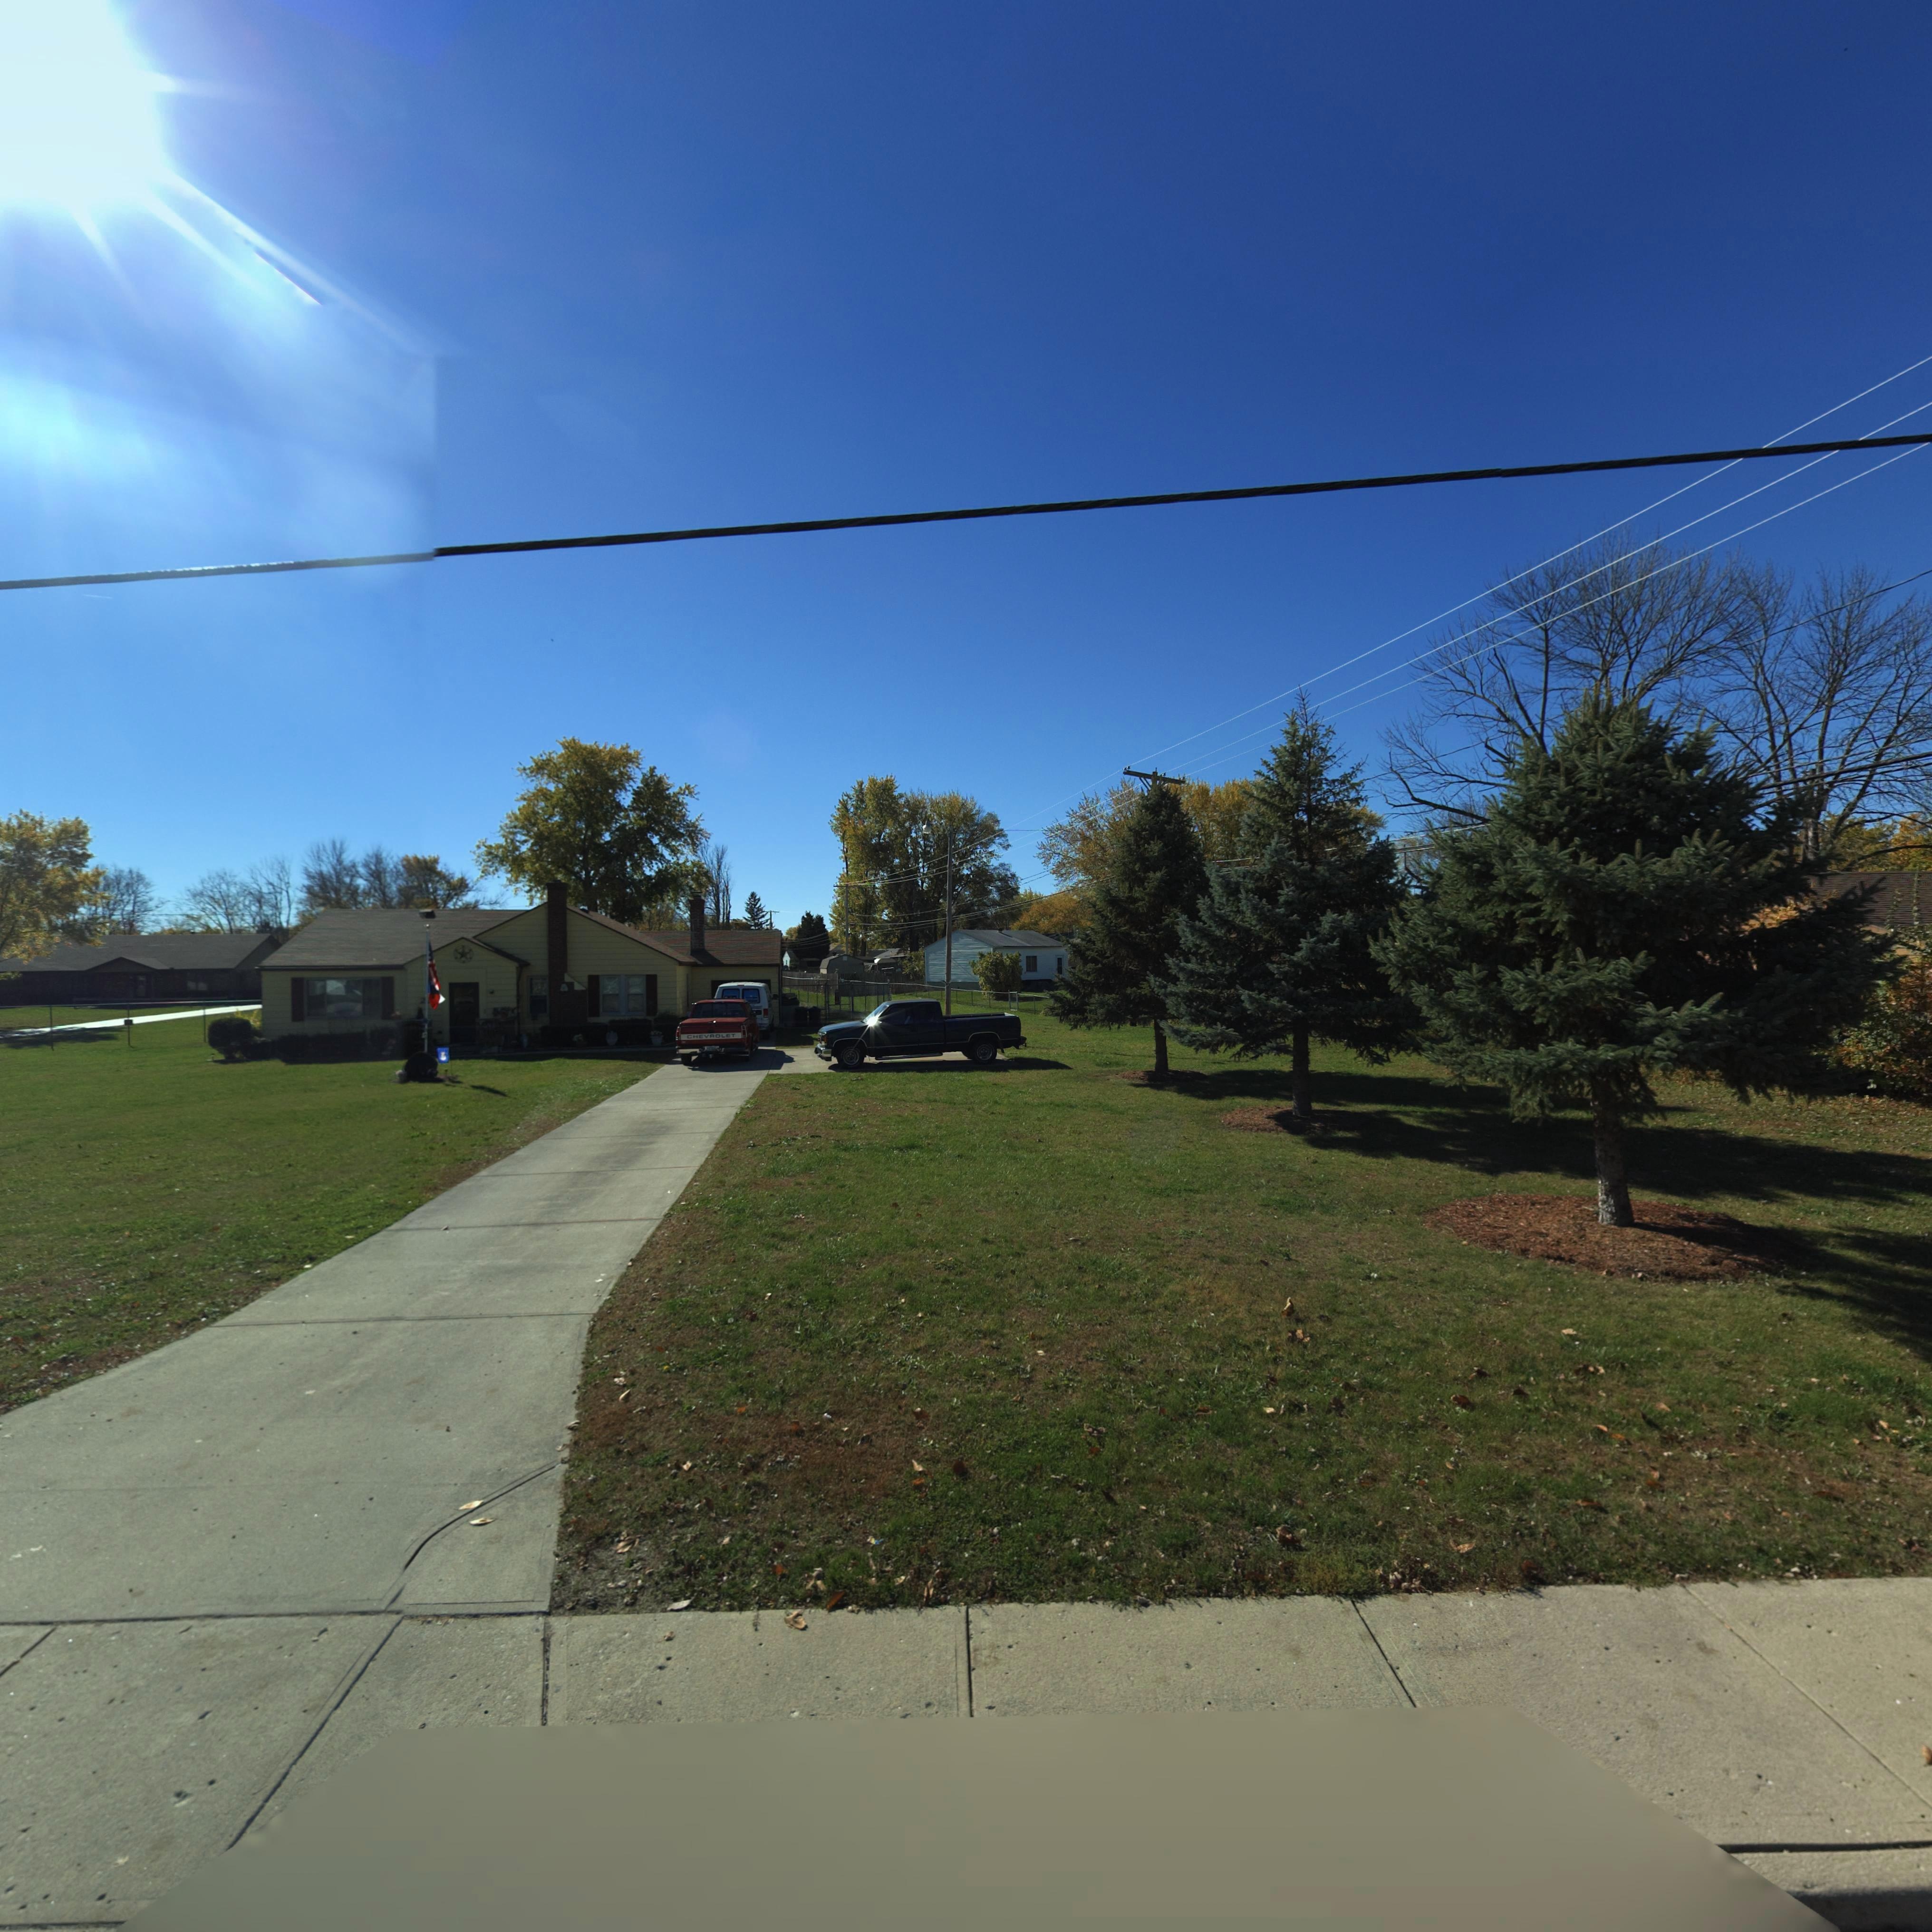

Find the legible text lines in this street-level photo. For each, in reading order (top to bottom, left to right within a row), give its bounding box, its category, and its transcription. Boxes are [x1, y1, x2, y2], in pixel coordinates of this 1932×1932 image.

[419, 997, 425, 1004] StreetNumber: 2
[686, 1034, 736, 1039] None: CHEVROLET